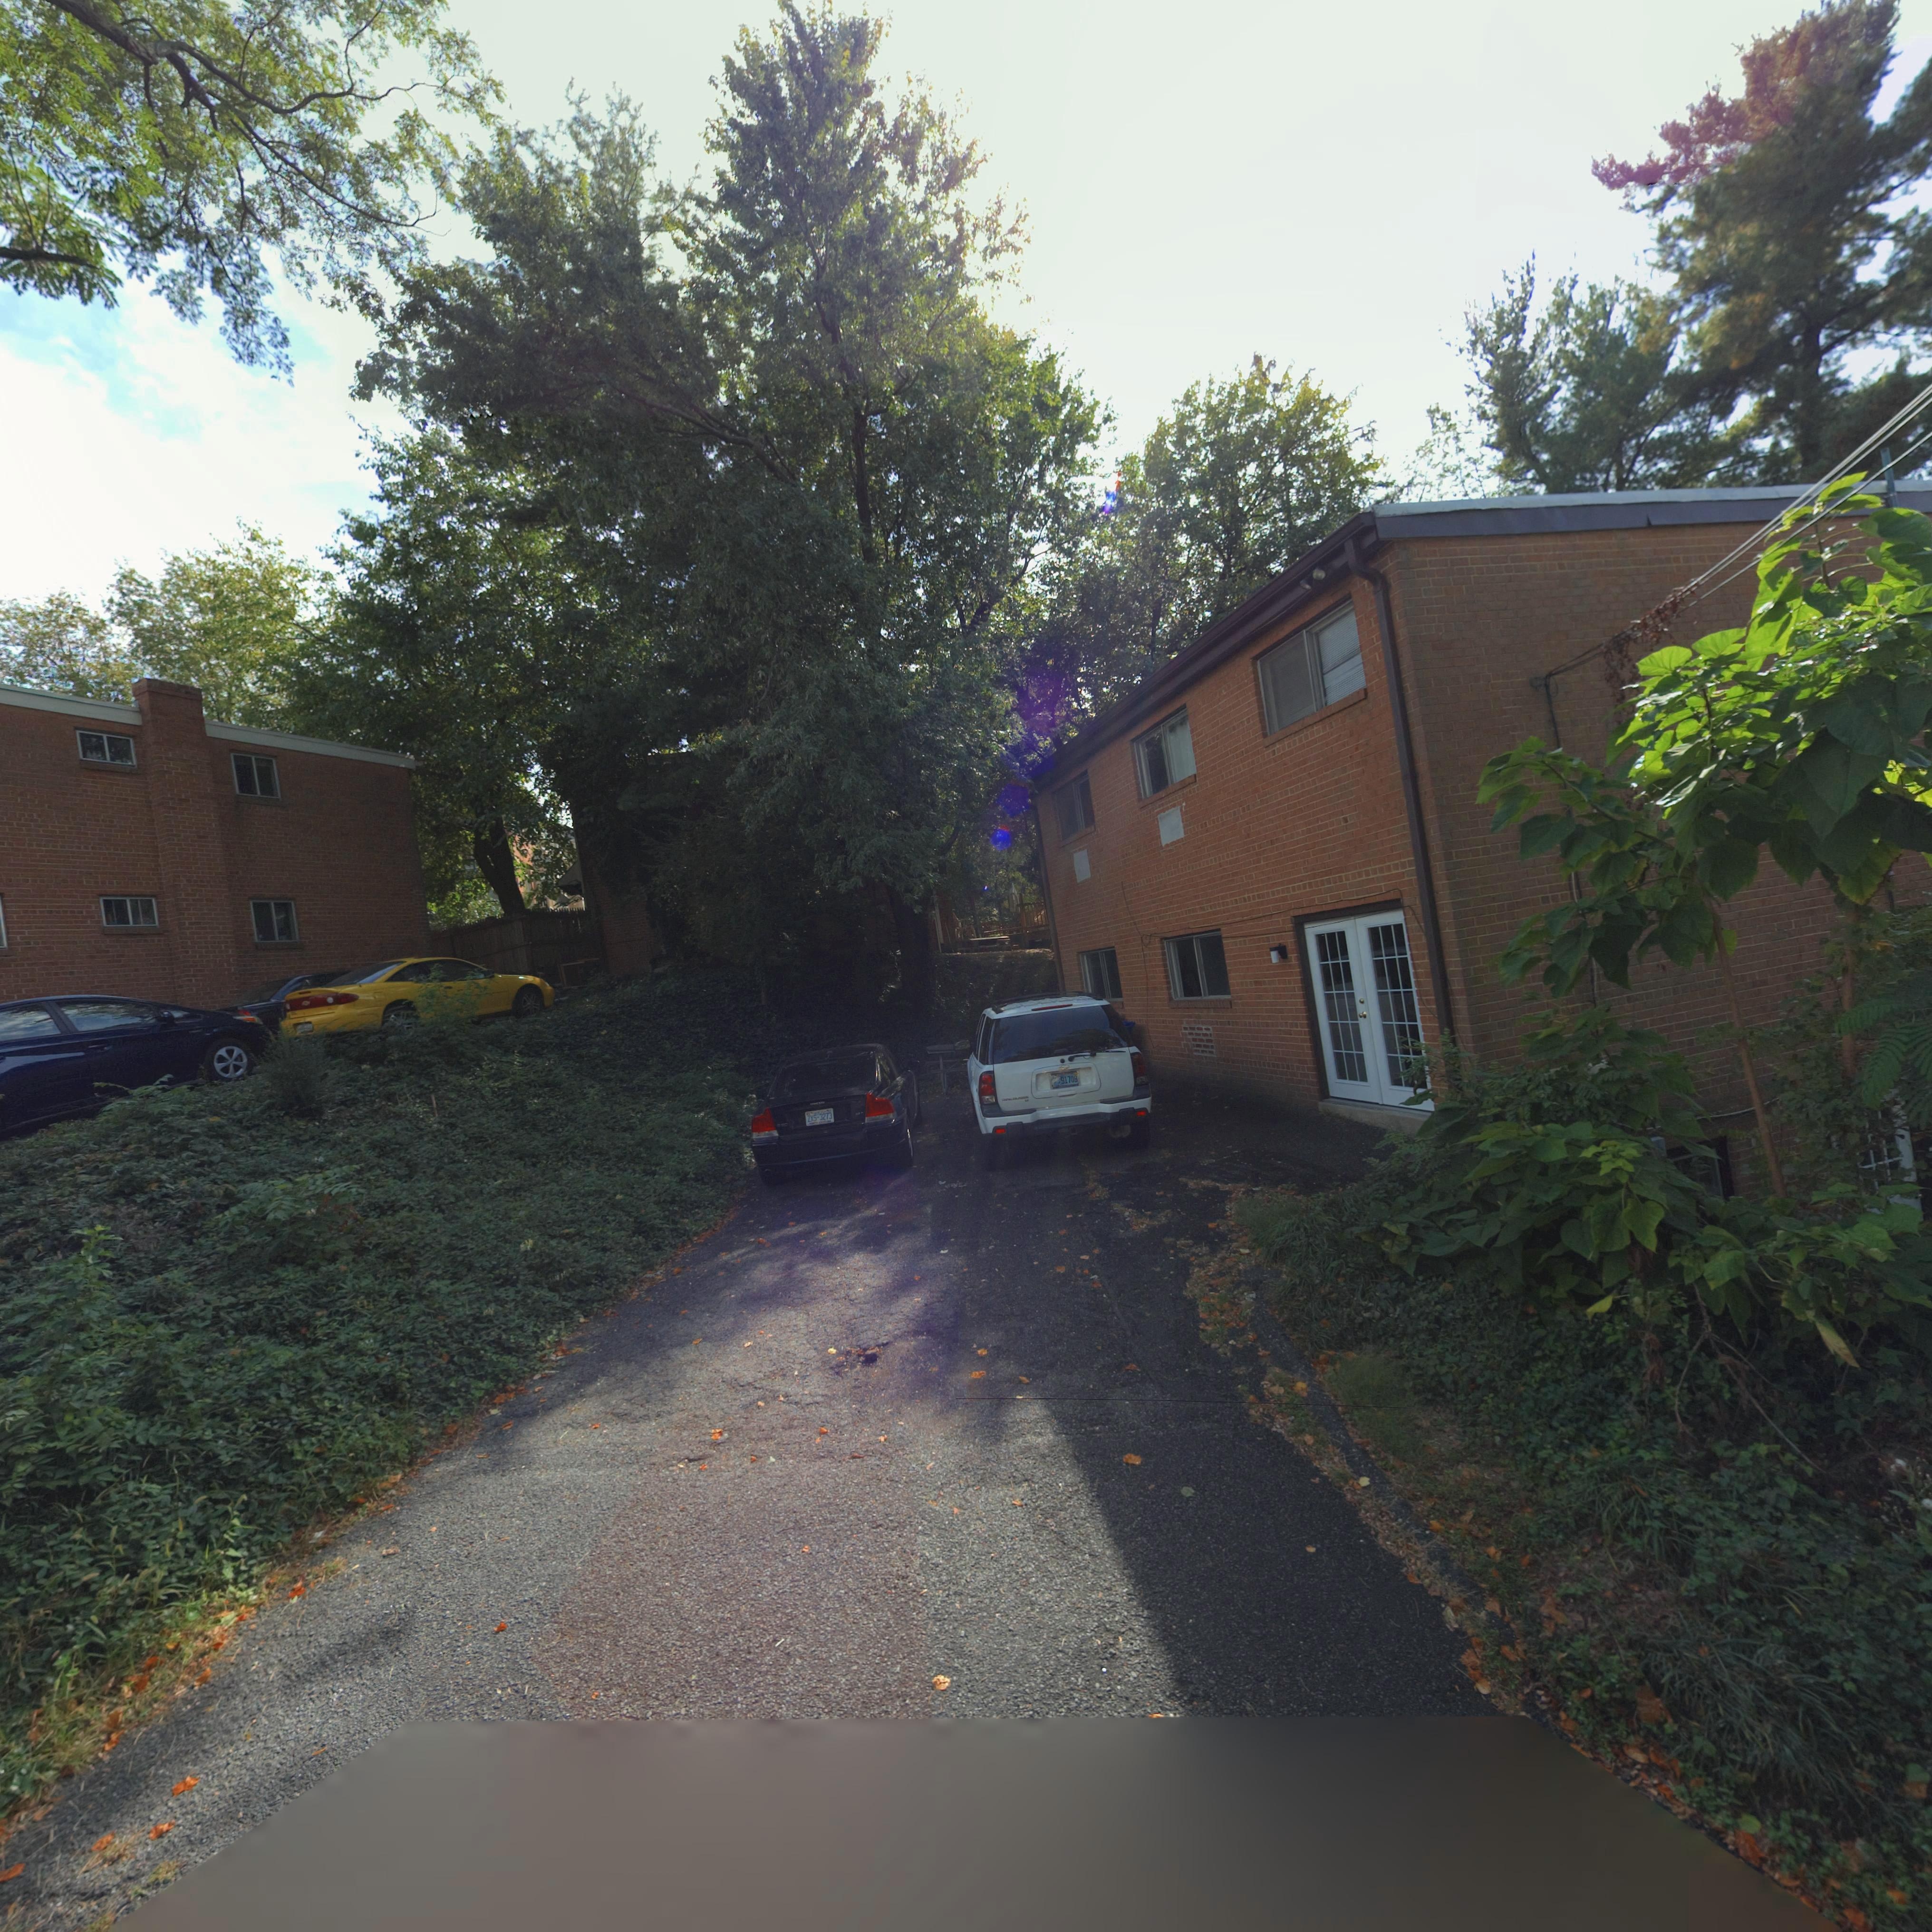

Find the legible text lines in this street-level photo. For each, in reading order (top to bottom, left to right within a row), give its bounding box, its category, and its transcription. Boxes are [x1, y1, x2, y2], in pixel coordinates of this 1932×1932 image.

[1059, 1073, 1079, 1085] None: 91708
[805, 1111, 833, 1124] None: Z*S-3273